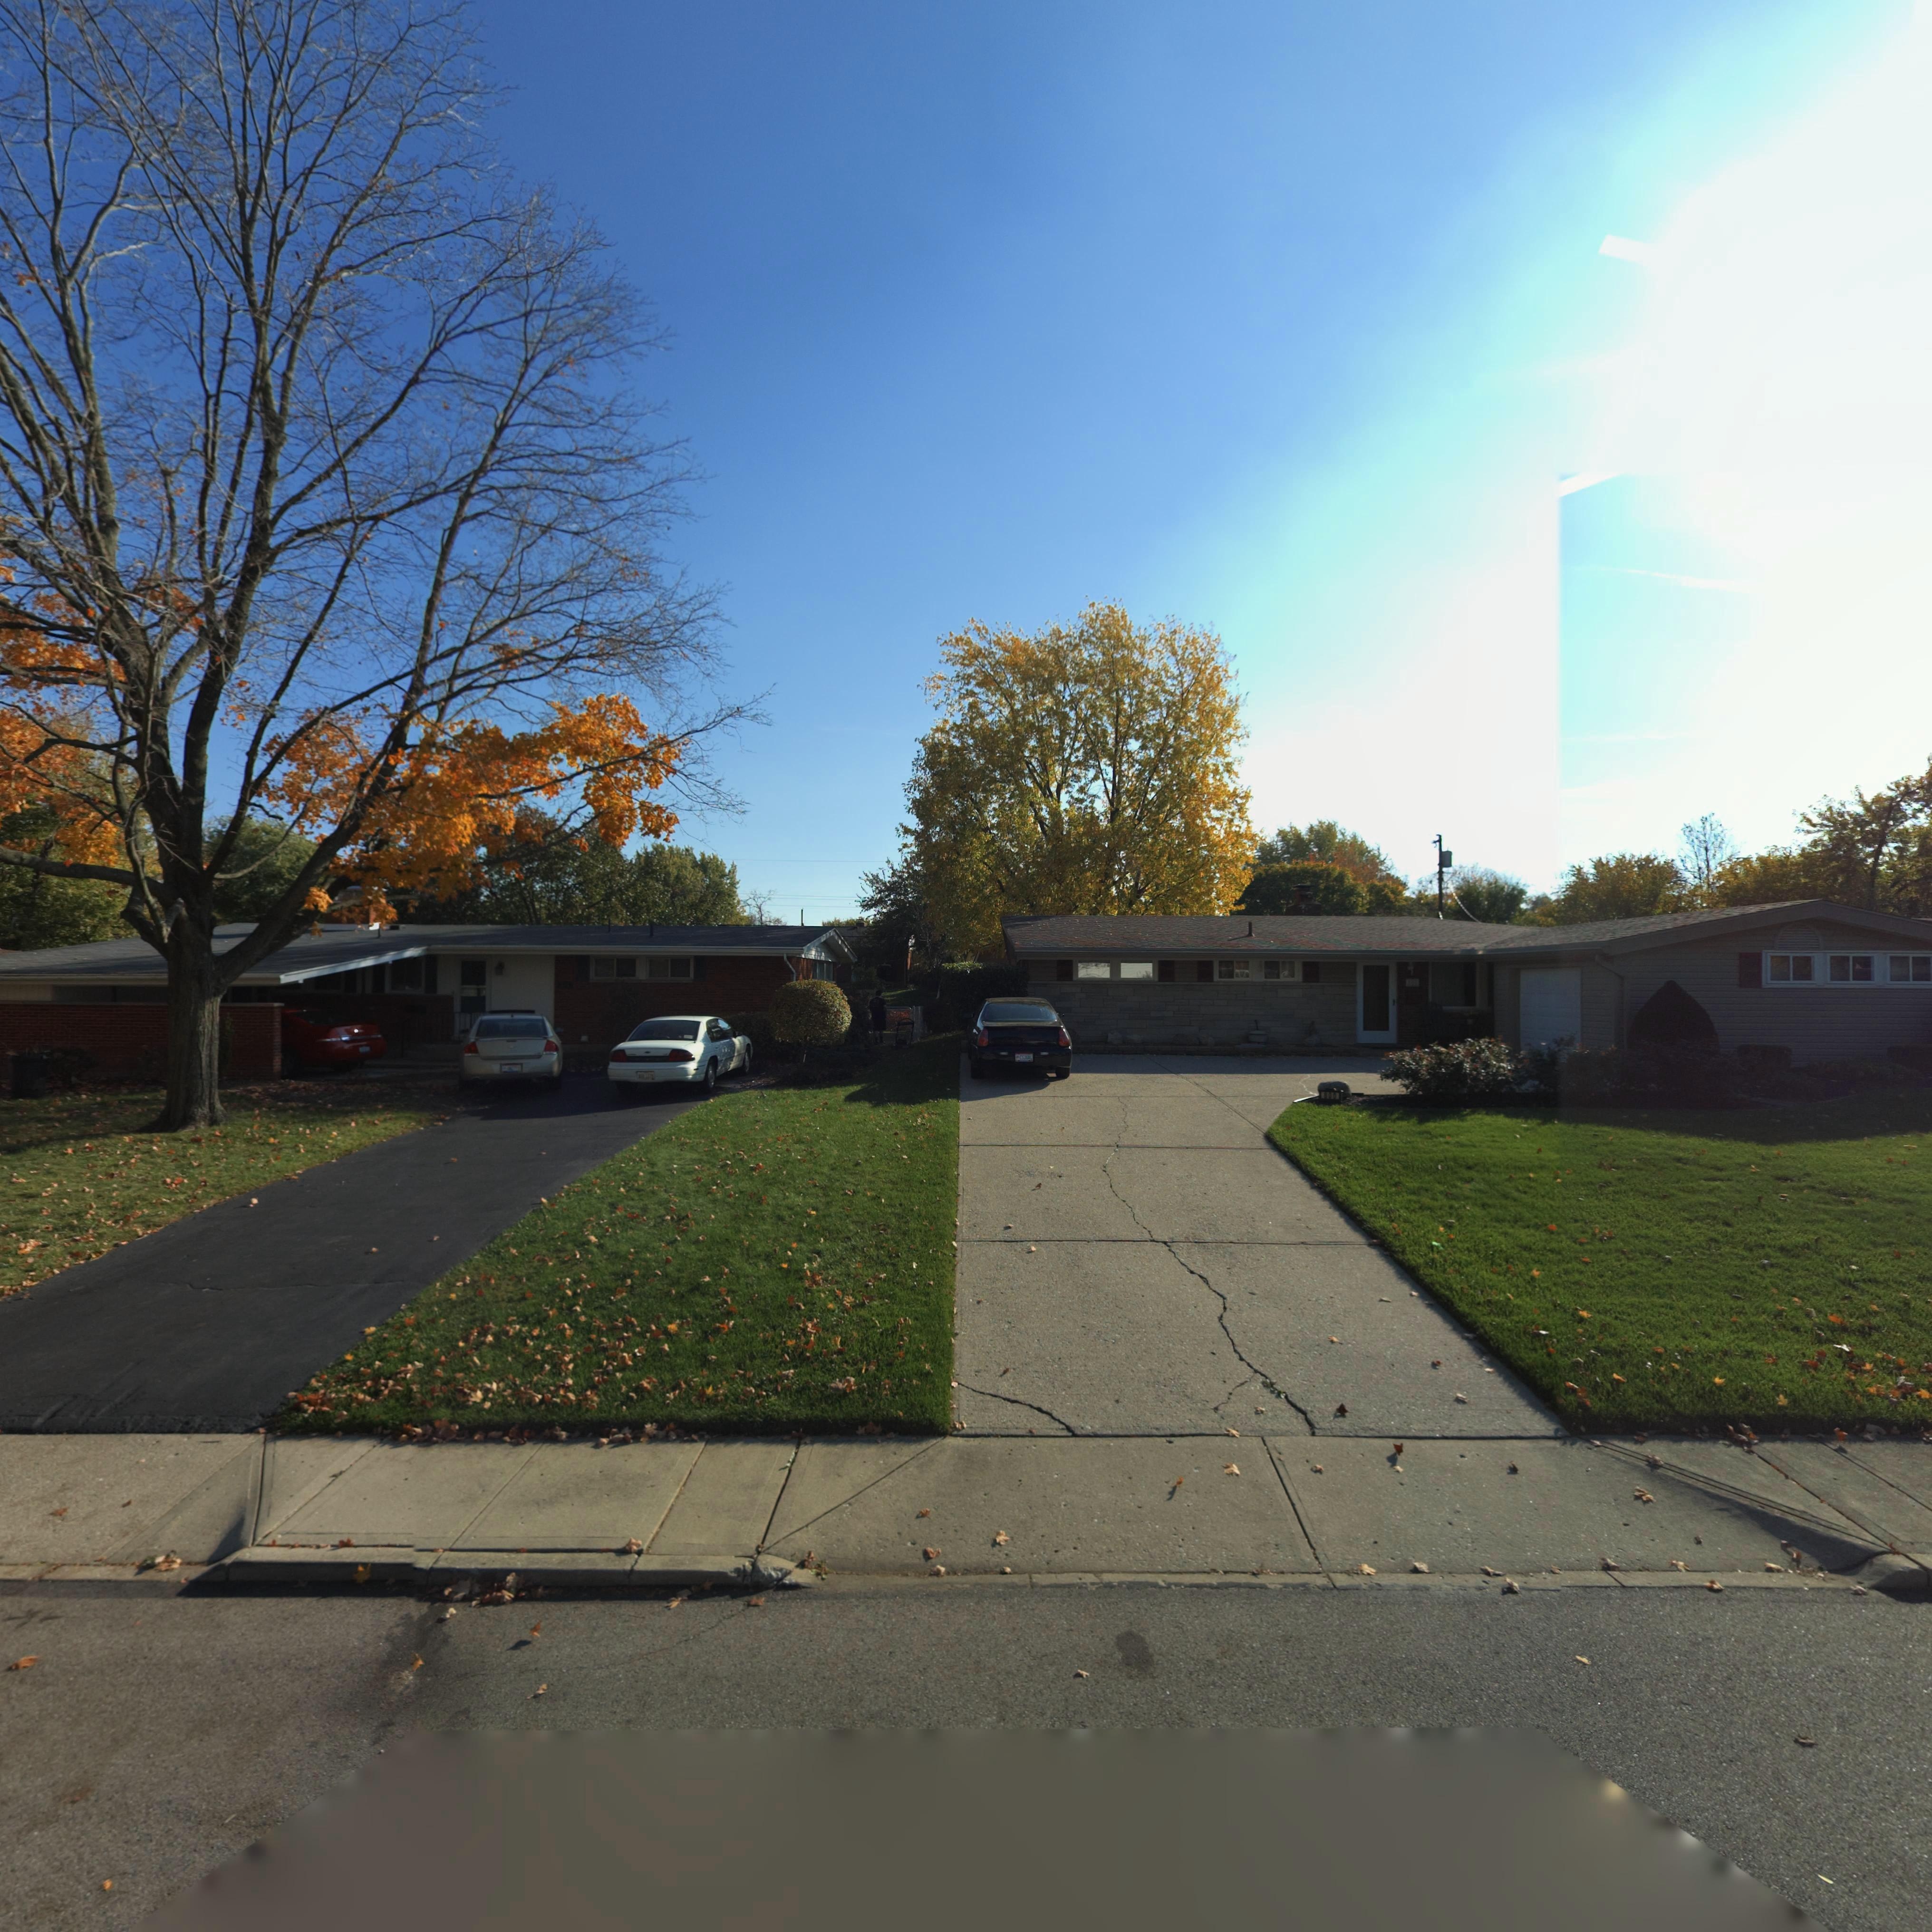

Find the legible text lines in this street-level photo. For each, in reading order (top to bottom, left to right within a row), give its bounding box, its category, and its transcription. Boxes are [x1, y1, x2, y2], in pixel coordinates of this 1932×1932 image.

[1323, 1092, 1337, 1100] StreetNumber: 800